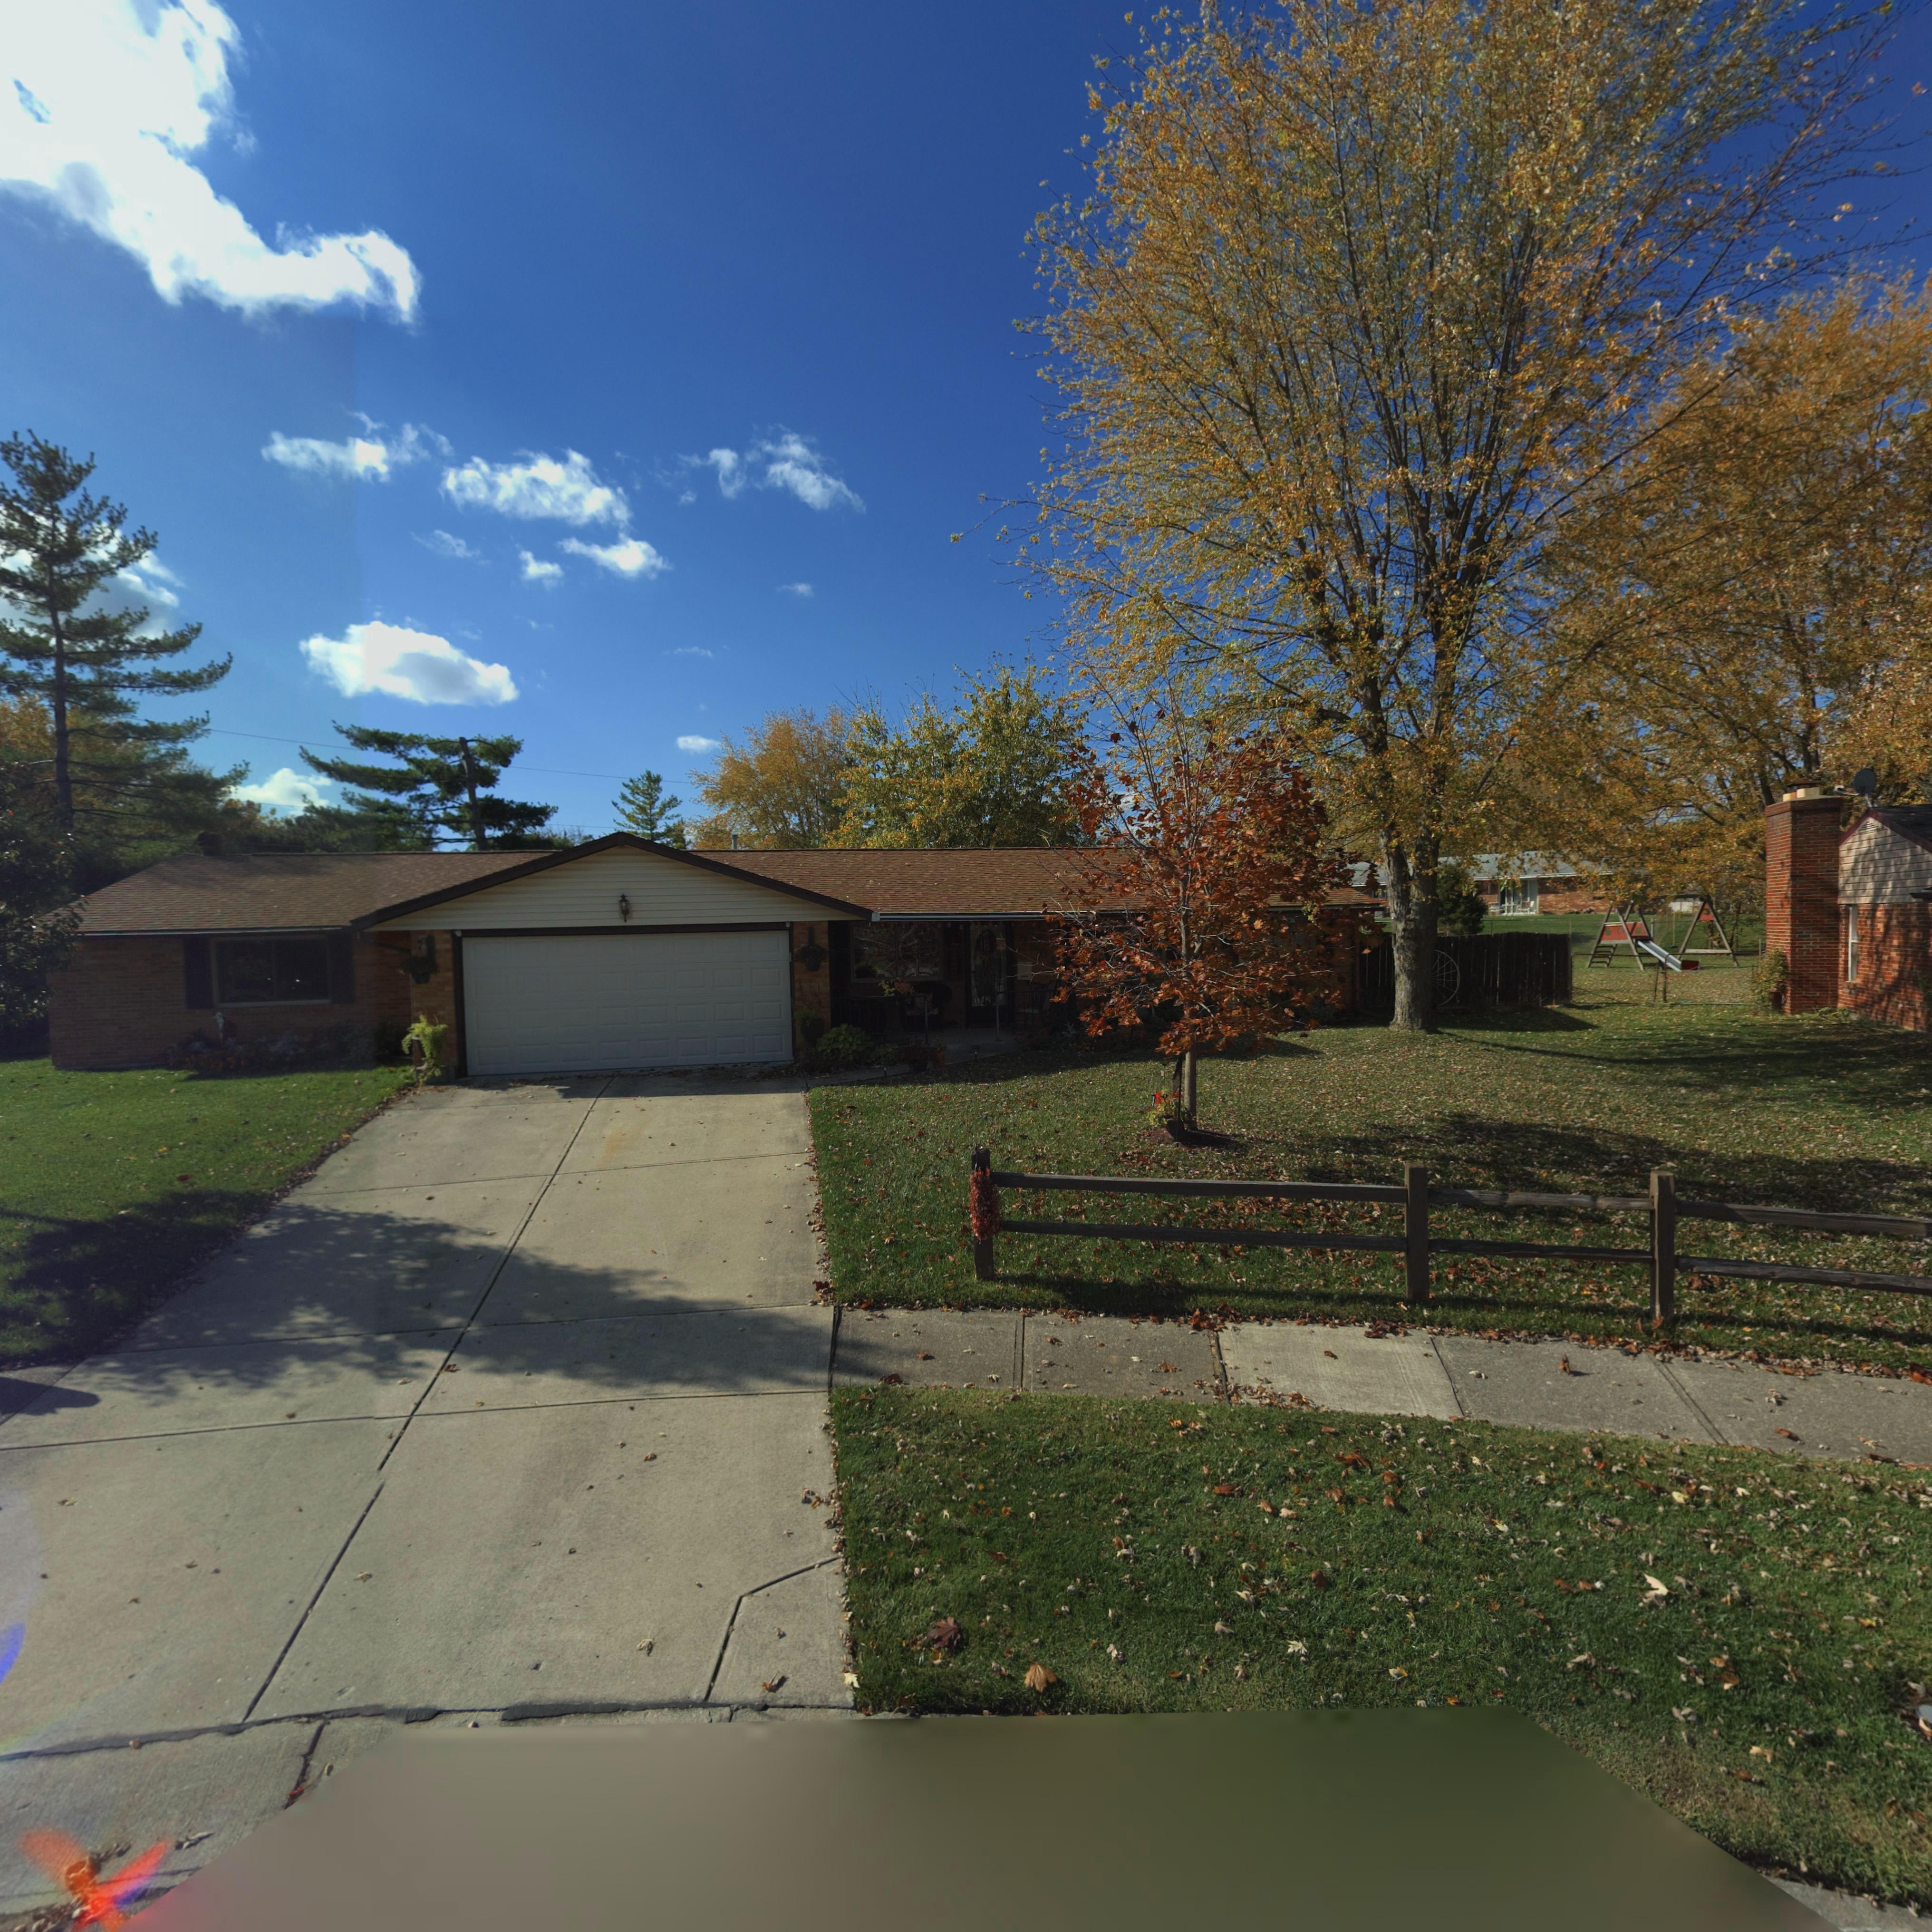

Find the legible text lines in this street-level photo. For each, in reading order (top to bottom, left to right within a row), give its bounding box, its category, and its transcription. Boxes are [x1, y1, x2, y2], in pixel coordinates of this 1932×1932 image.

[1019, 935, 1057, 967] StreetNumber: 7501